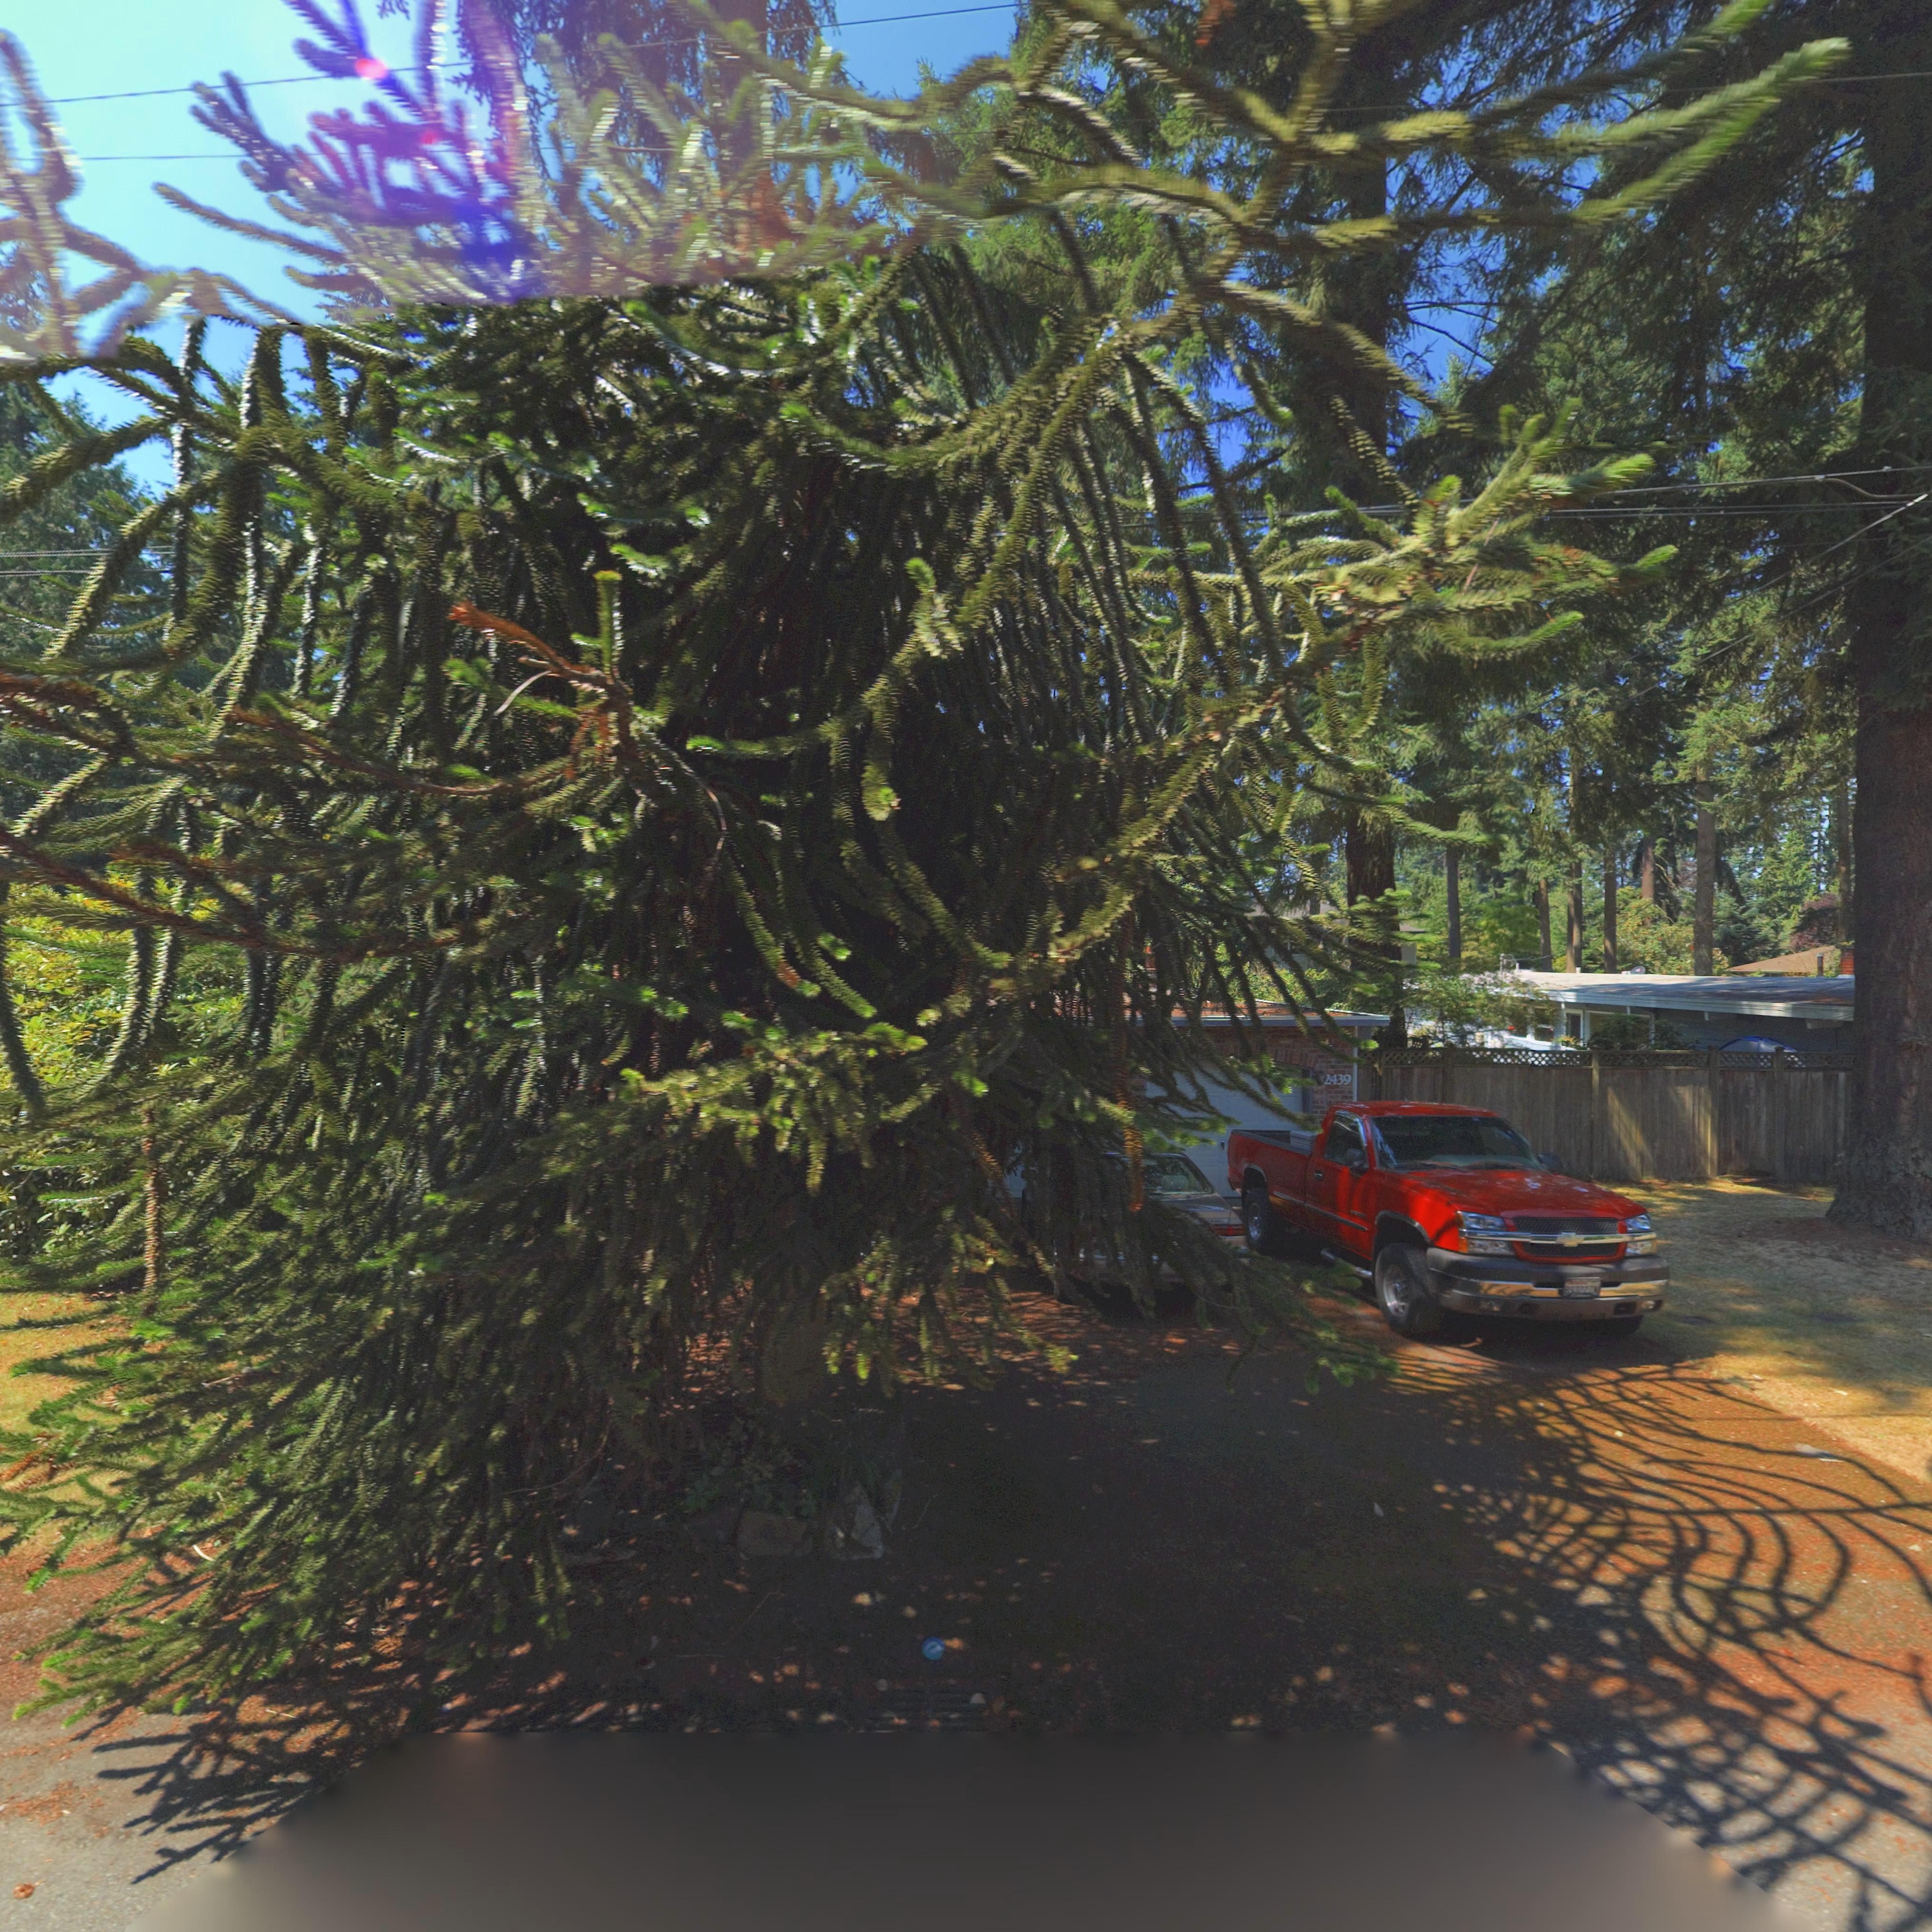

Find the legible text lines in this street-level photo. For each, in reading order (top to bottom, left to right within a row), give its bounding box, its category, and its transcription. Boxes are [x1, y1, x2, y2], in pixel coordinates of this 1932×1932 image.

[1323, 1074, 1351, 1084] StreetNumber: *439